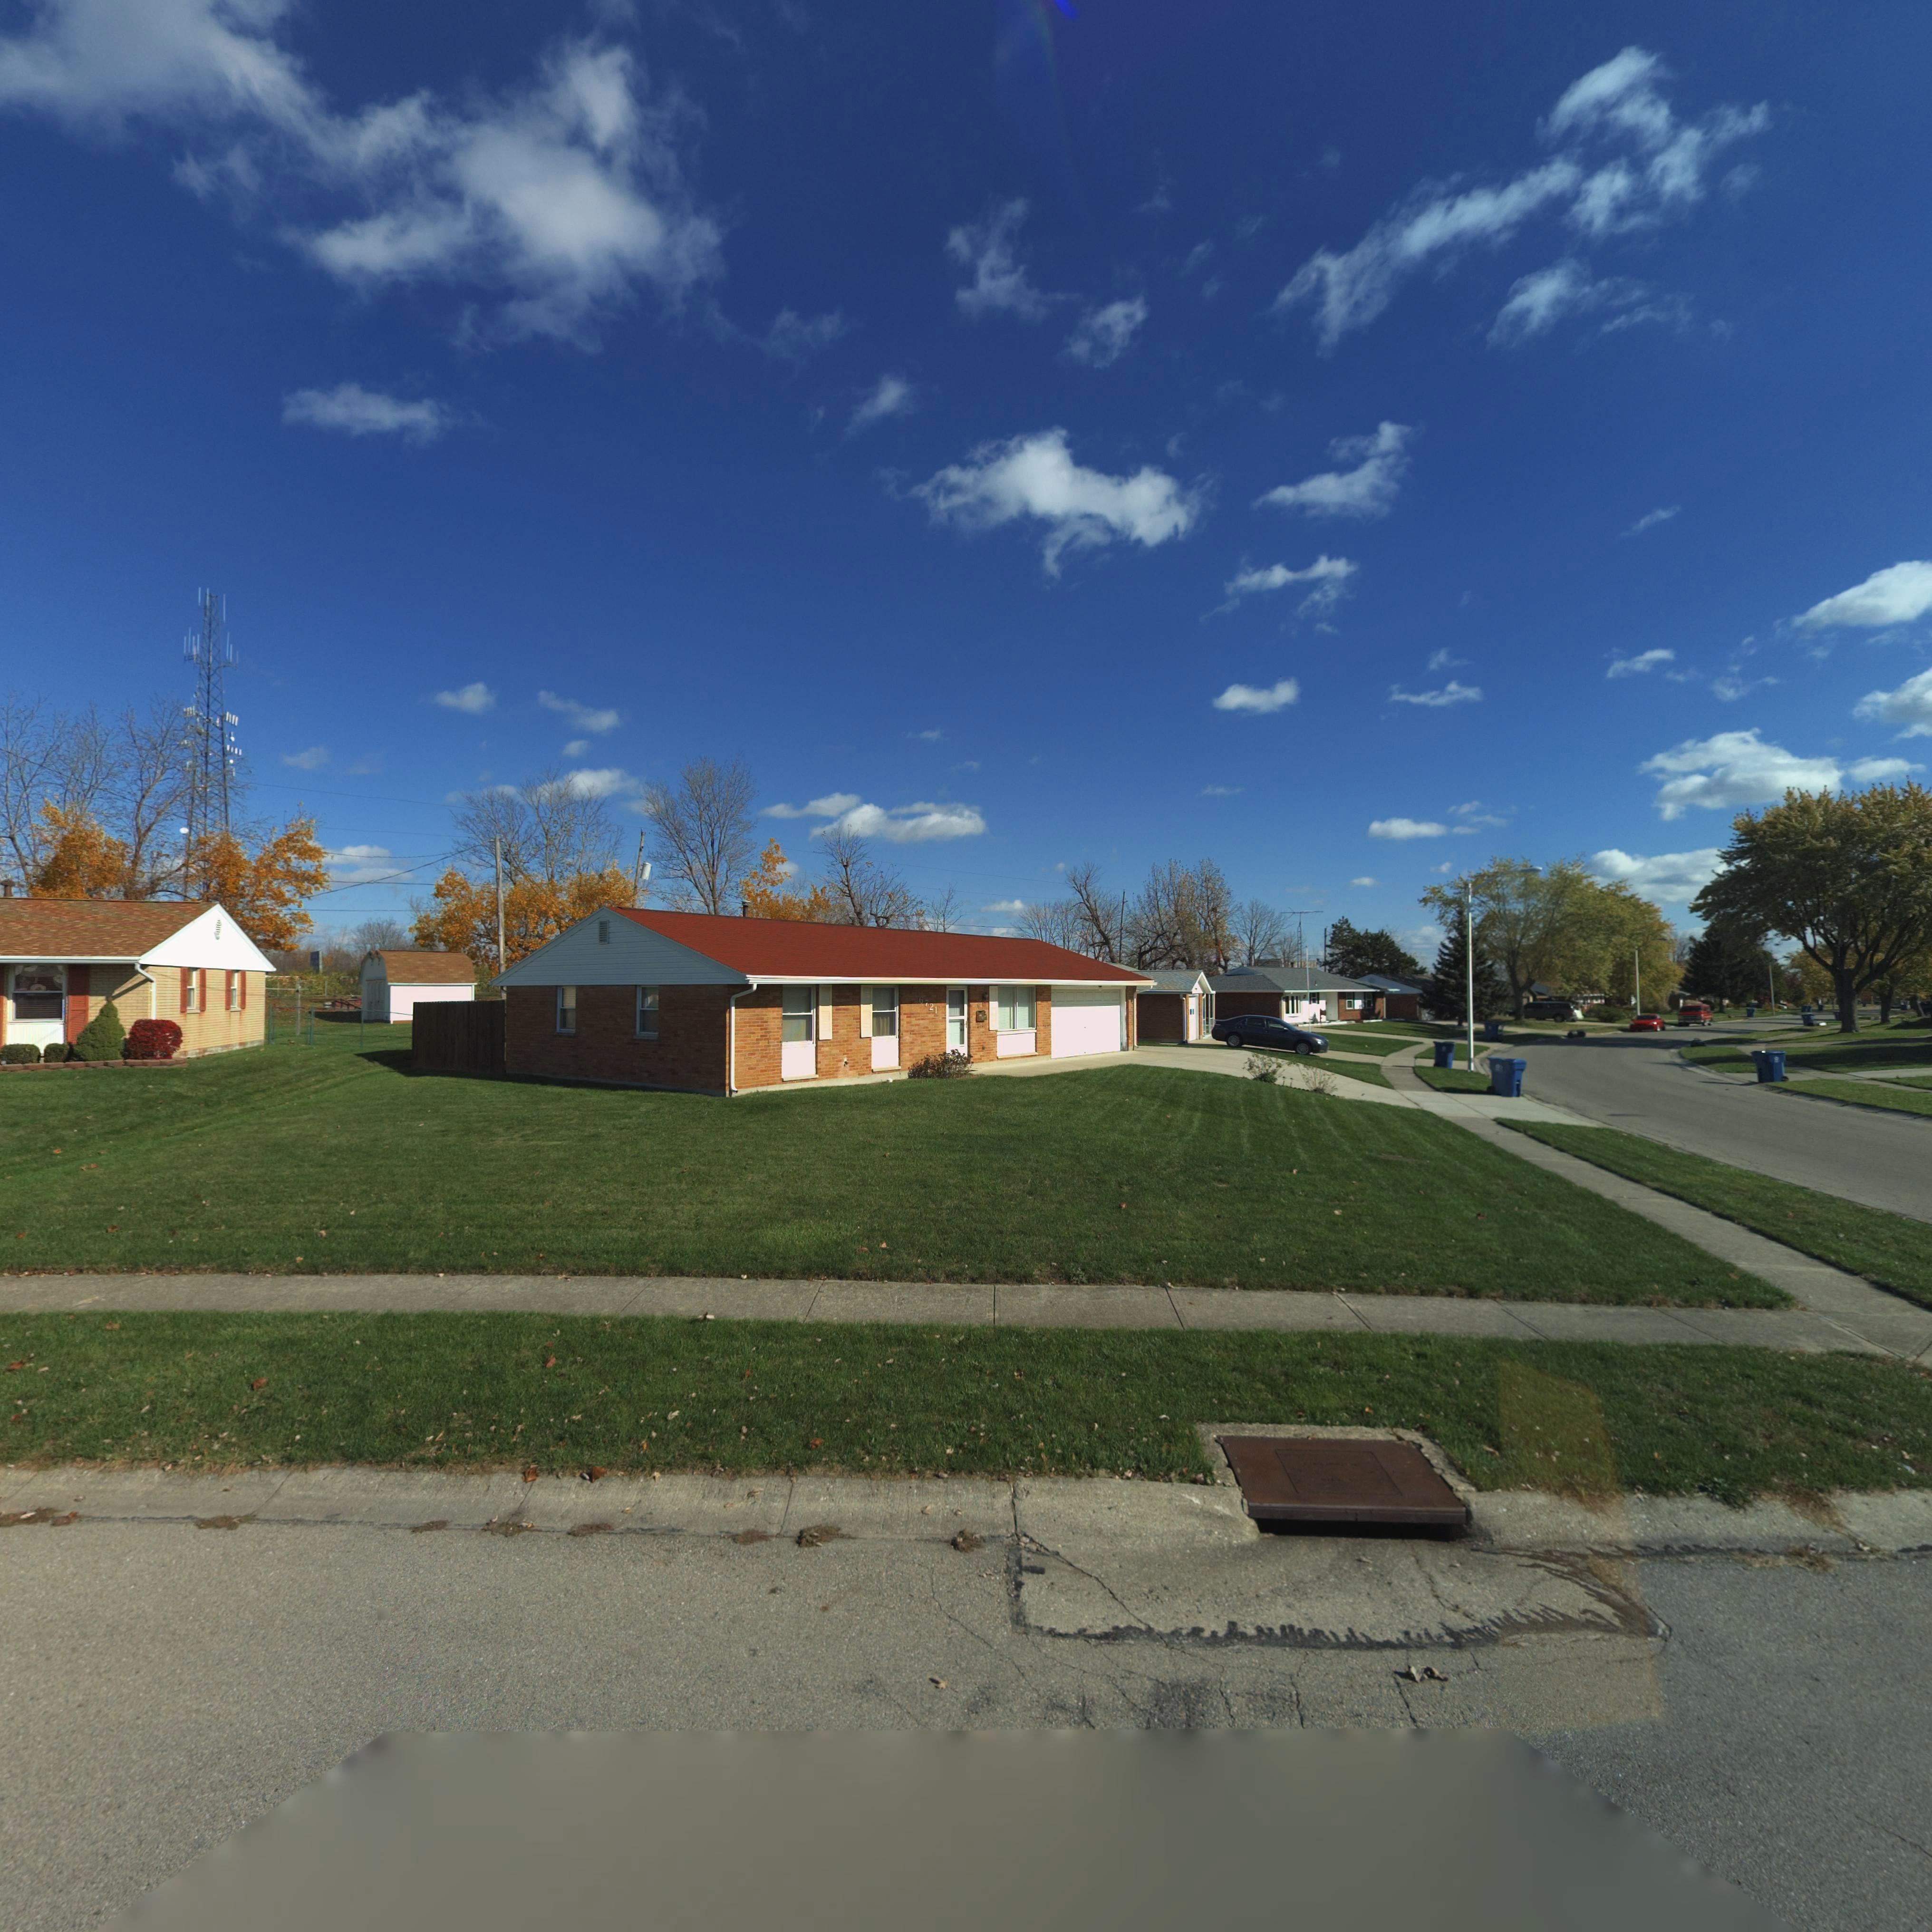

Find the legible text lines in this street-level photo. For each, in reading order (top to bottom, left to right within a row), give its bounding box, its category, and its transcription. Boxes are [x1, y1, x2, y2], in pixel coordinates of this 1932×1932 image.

[918, 995, 937, 1014] StreetNumber: 6721